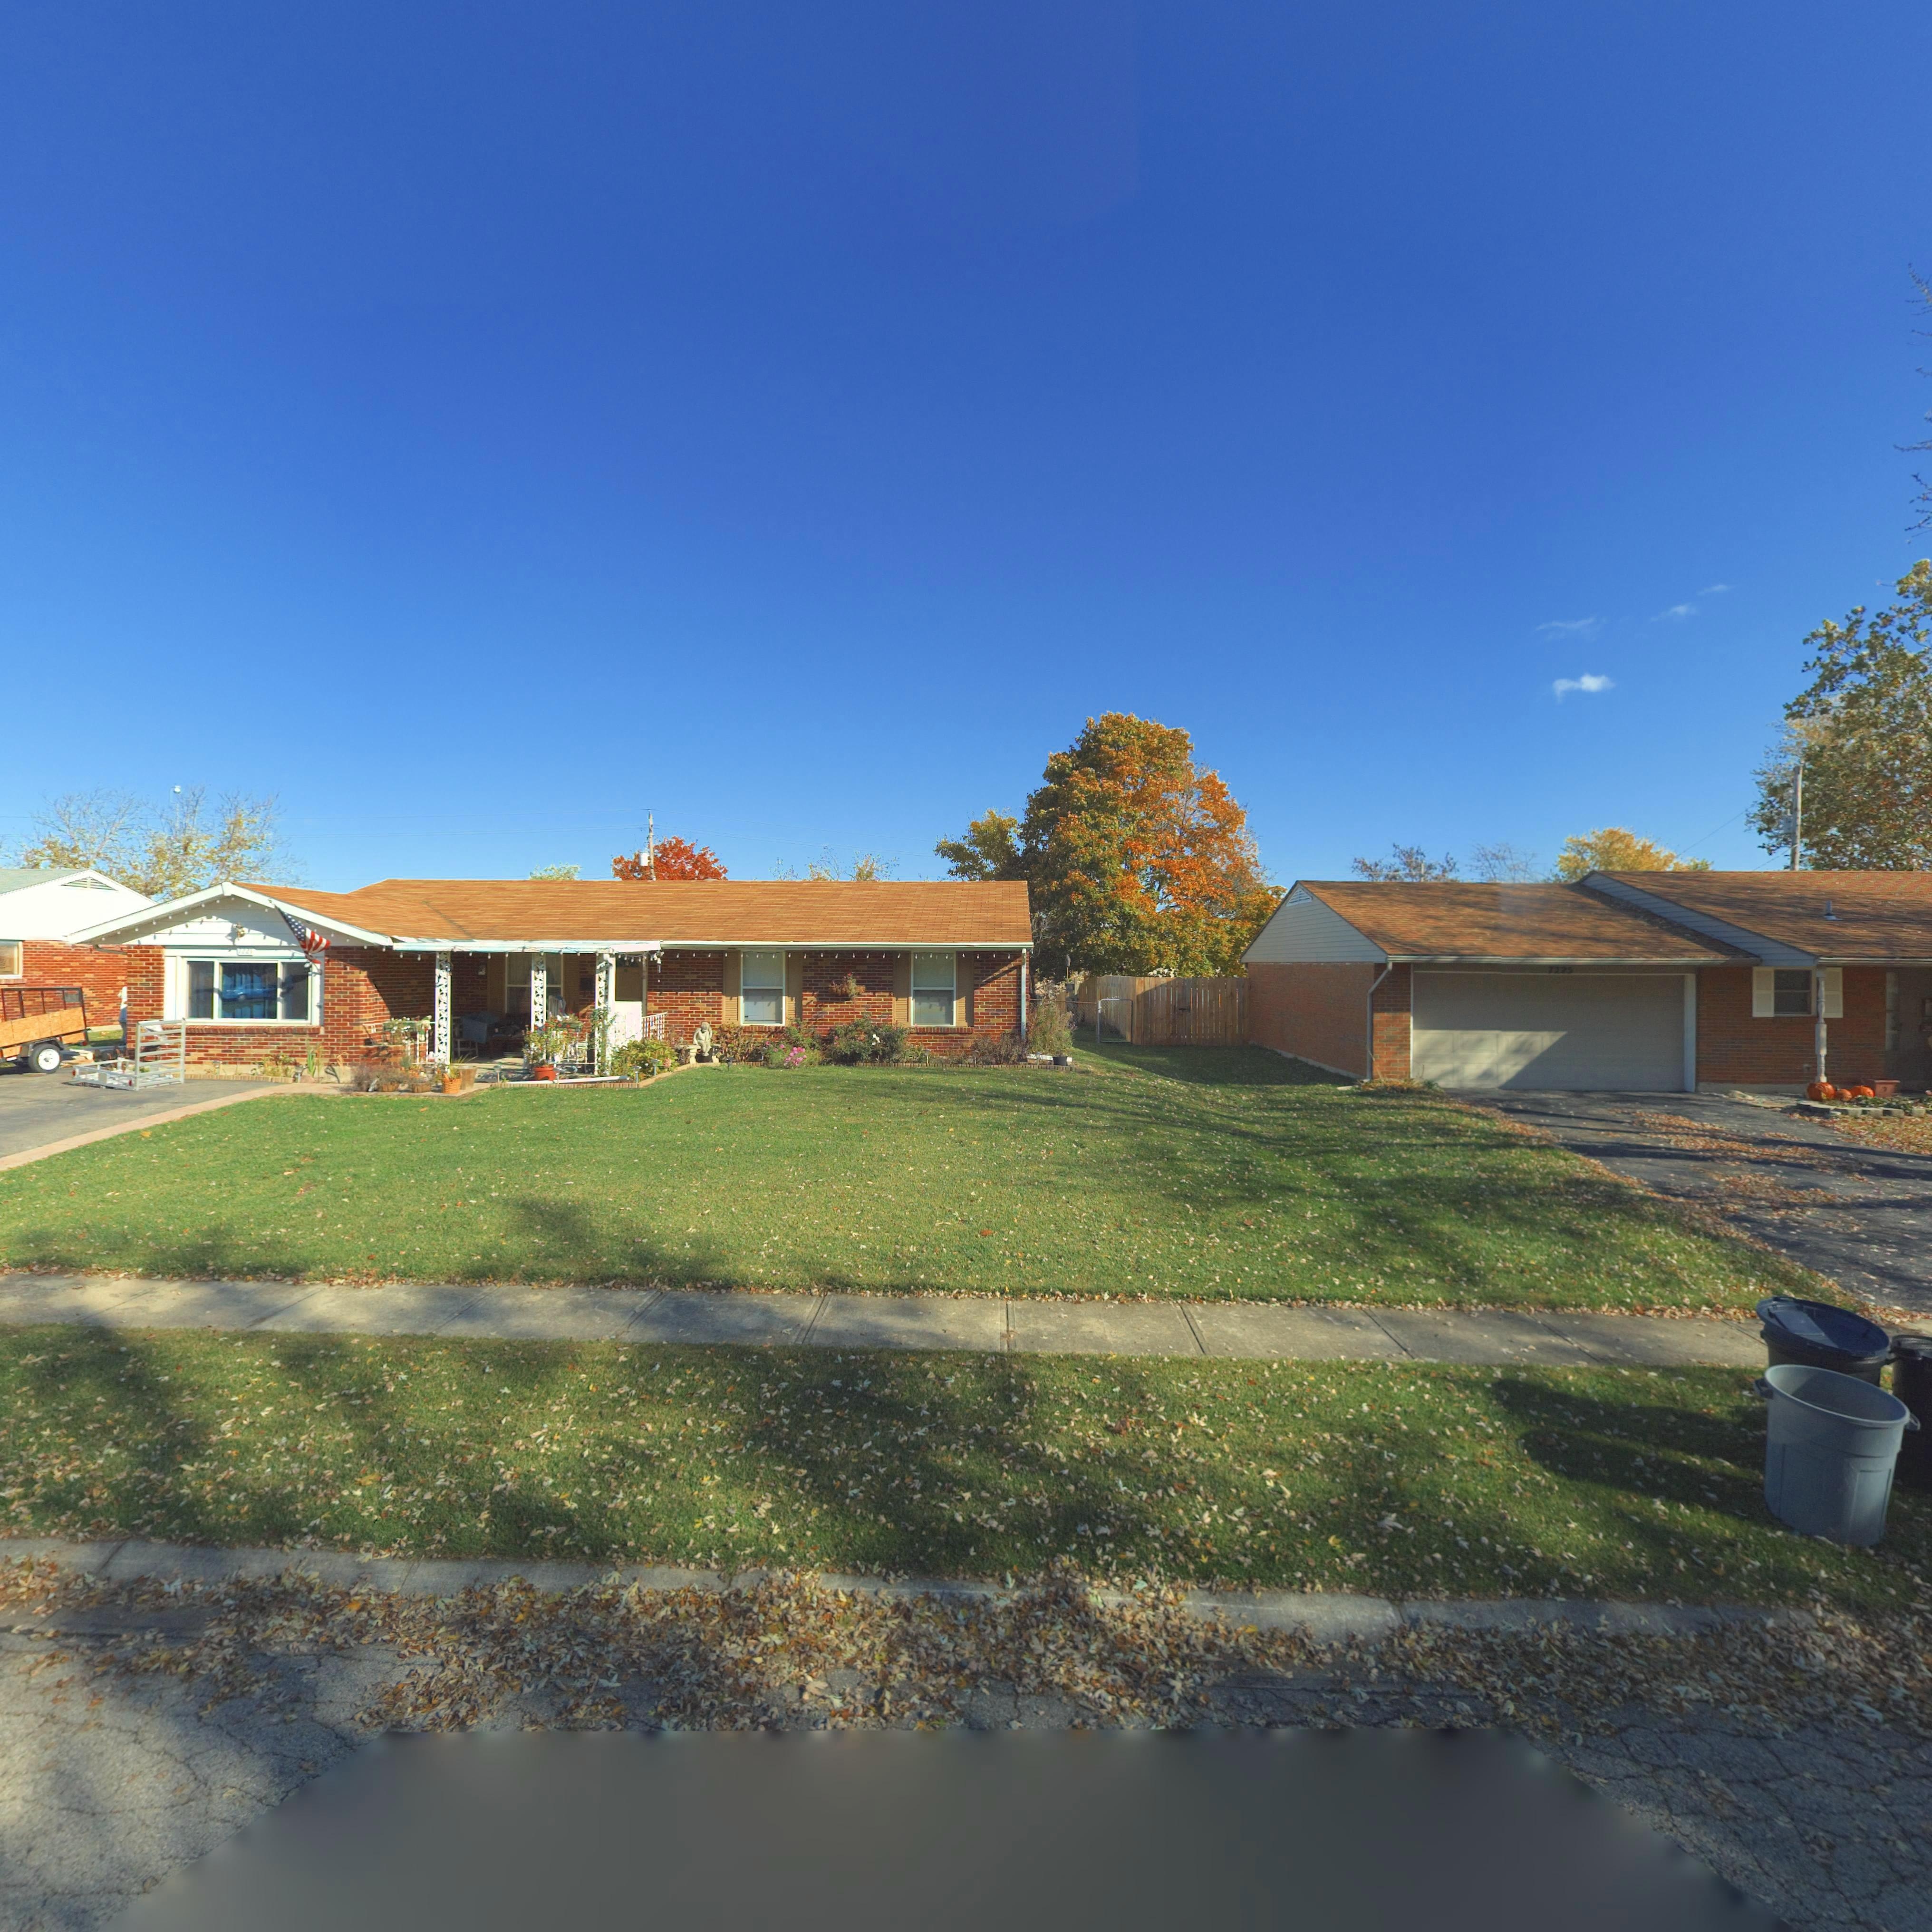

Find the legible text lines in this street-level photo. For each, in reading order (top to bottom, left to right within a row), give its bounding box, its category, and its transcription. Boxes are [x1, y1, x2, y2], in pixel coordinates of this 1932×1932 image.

[238, 947, 253, 955] StreetNumber: *22*
[1546, 966, 1574, 975] StreetNumber: 7225